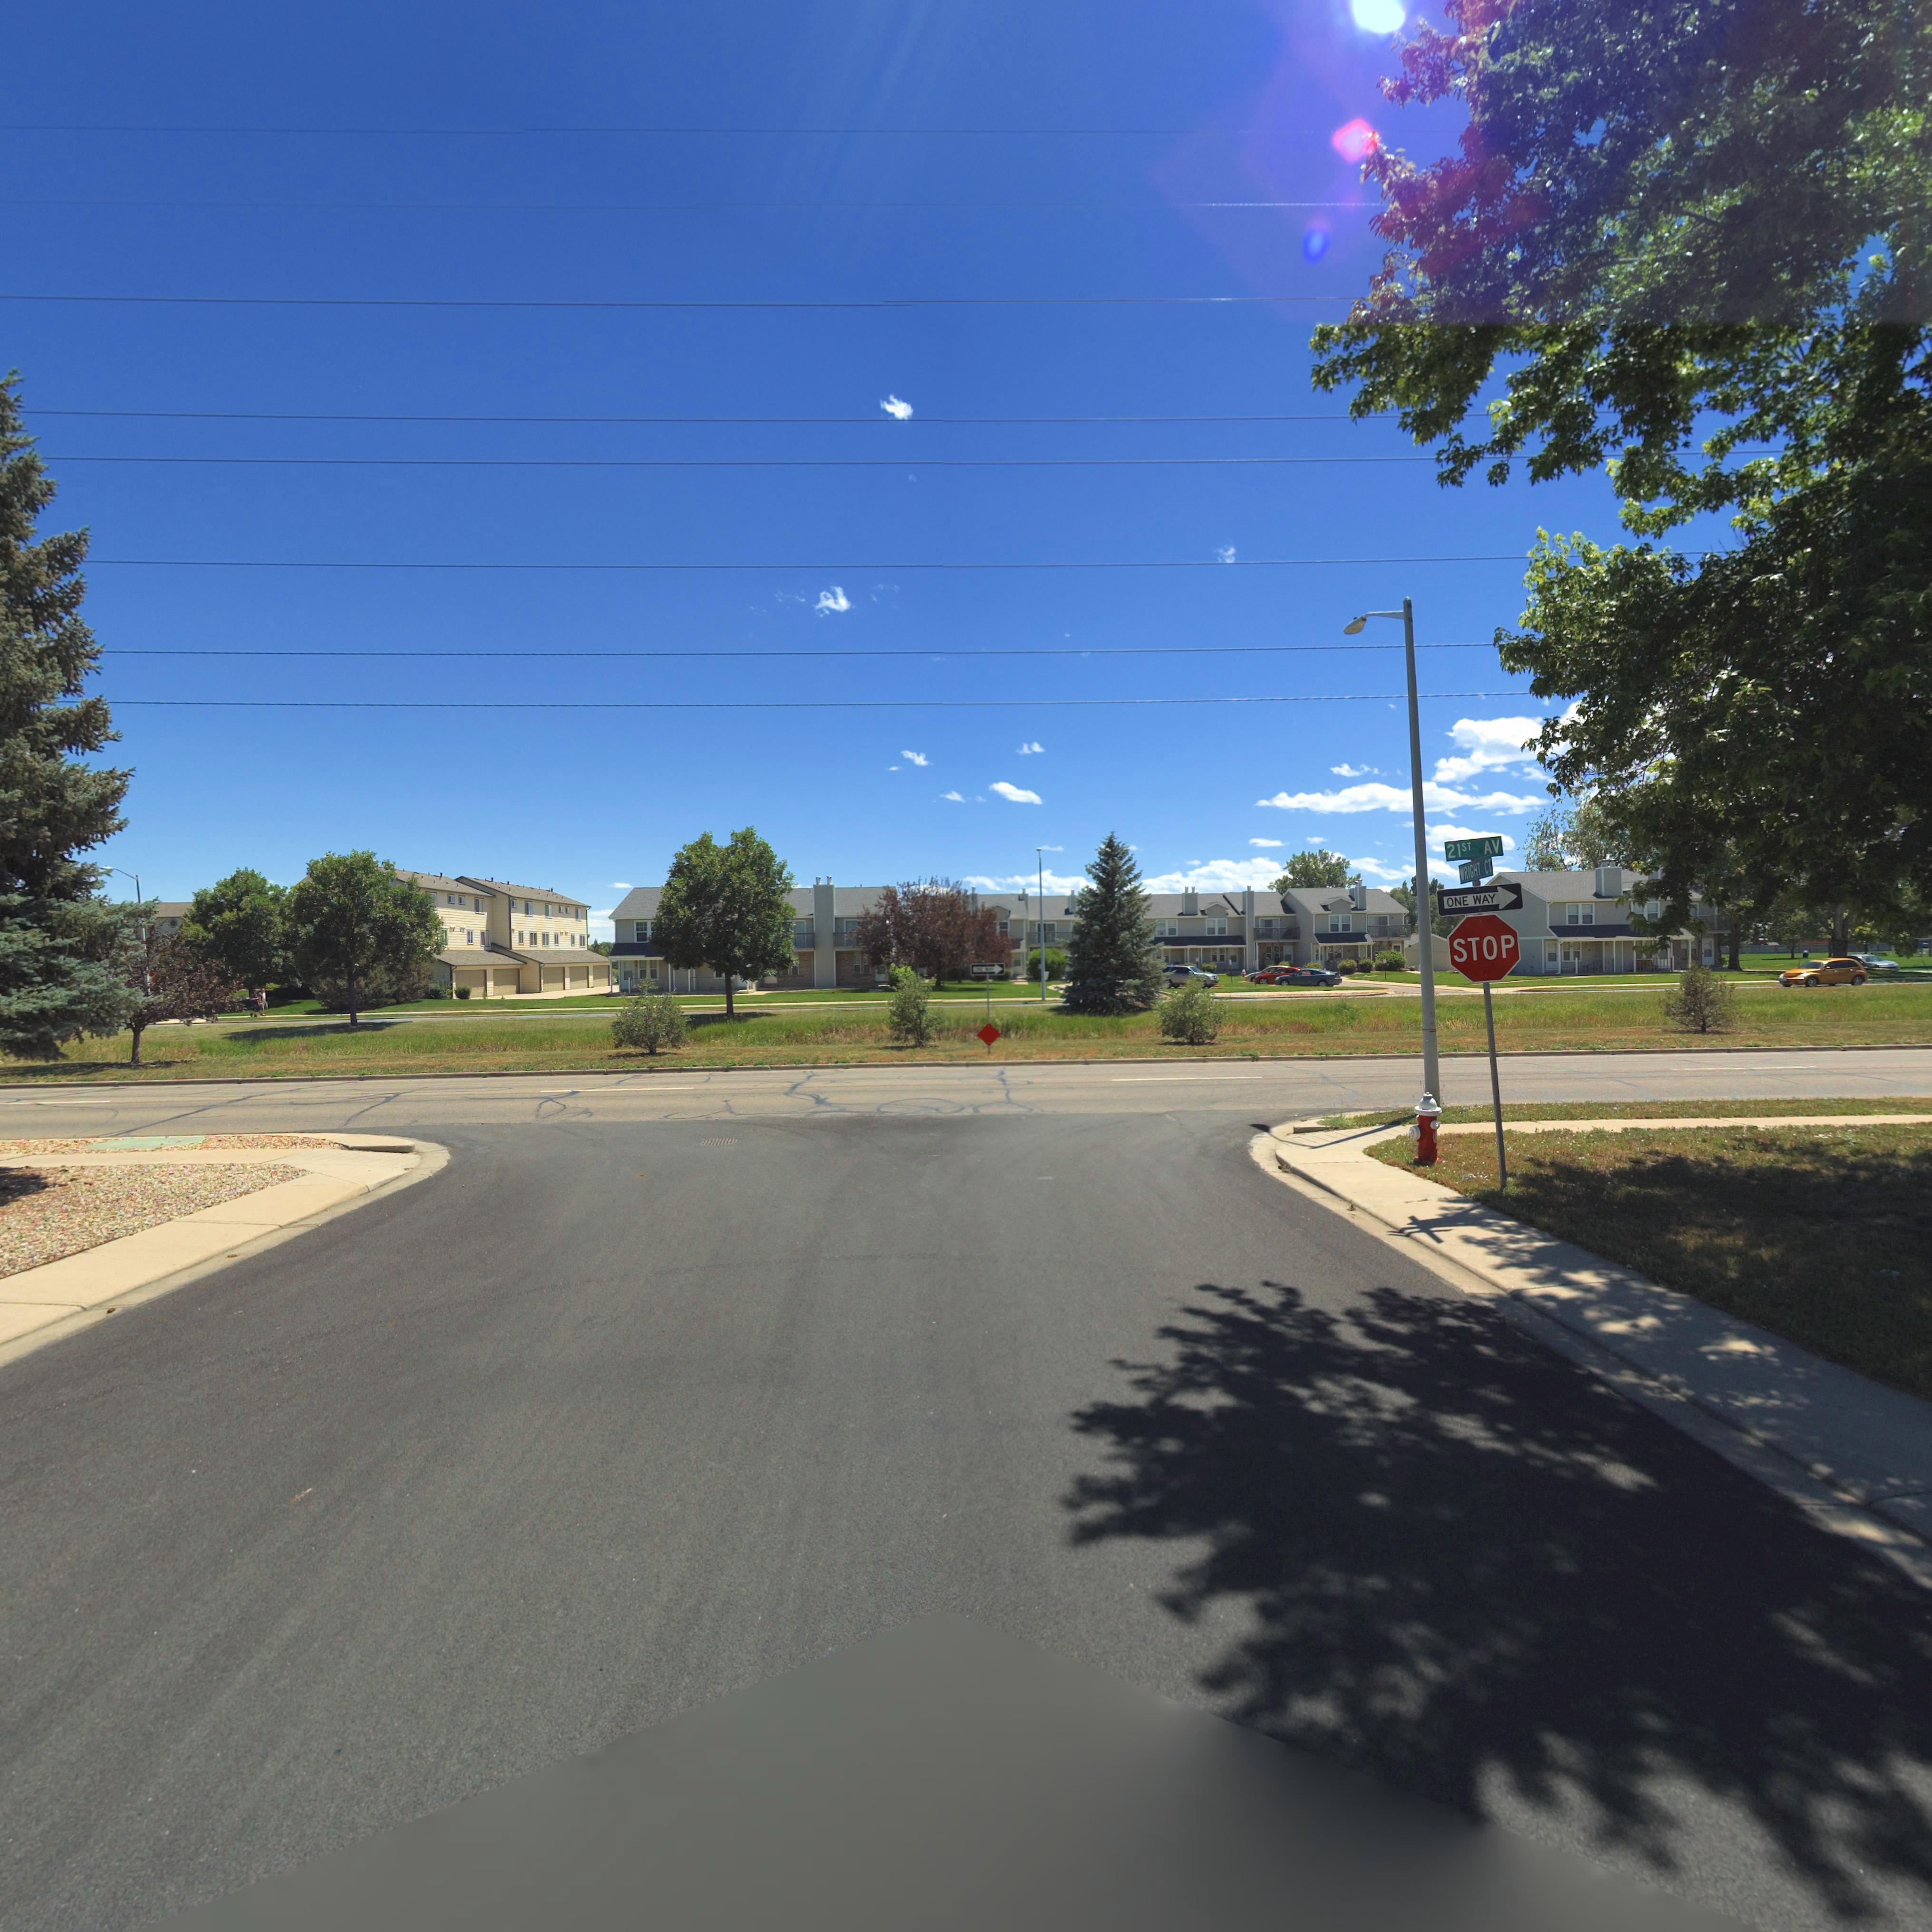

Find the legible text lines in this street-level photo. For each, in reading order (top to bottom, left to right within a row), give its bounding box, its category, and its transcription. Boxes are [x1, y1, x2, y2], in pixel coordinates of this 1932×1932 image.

[1446, 839, 1499, 859] StreetName: 21ST AV
[1459, 858, 1491, 881] StreetName: WRIGHT CT